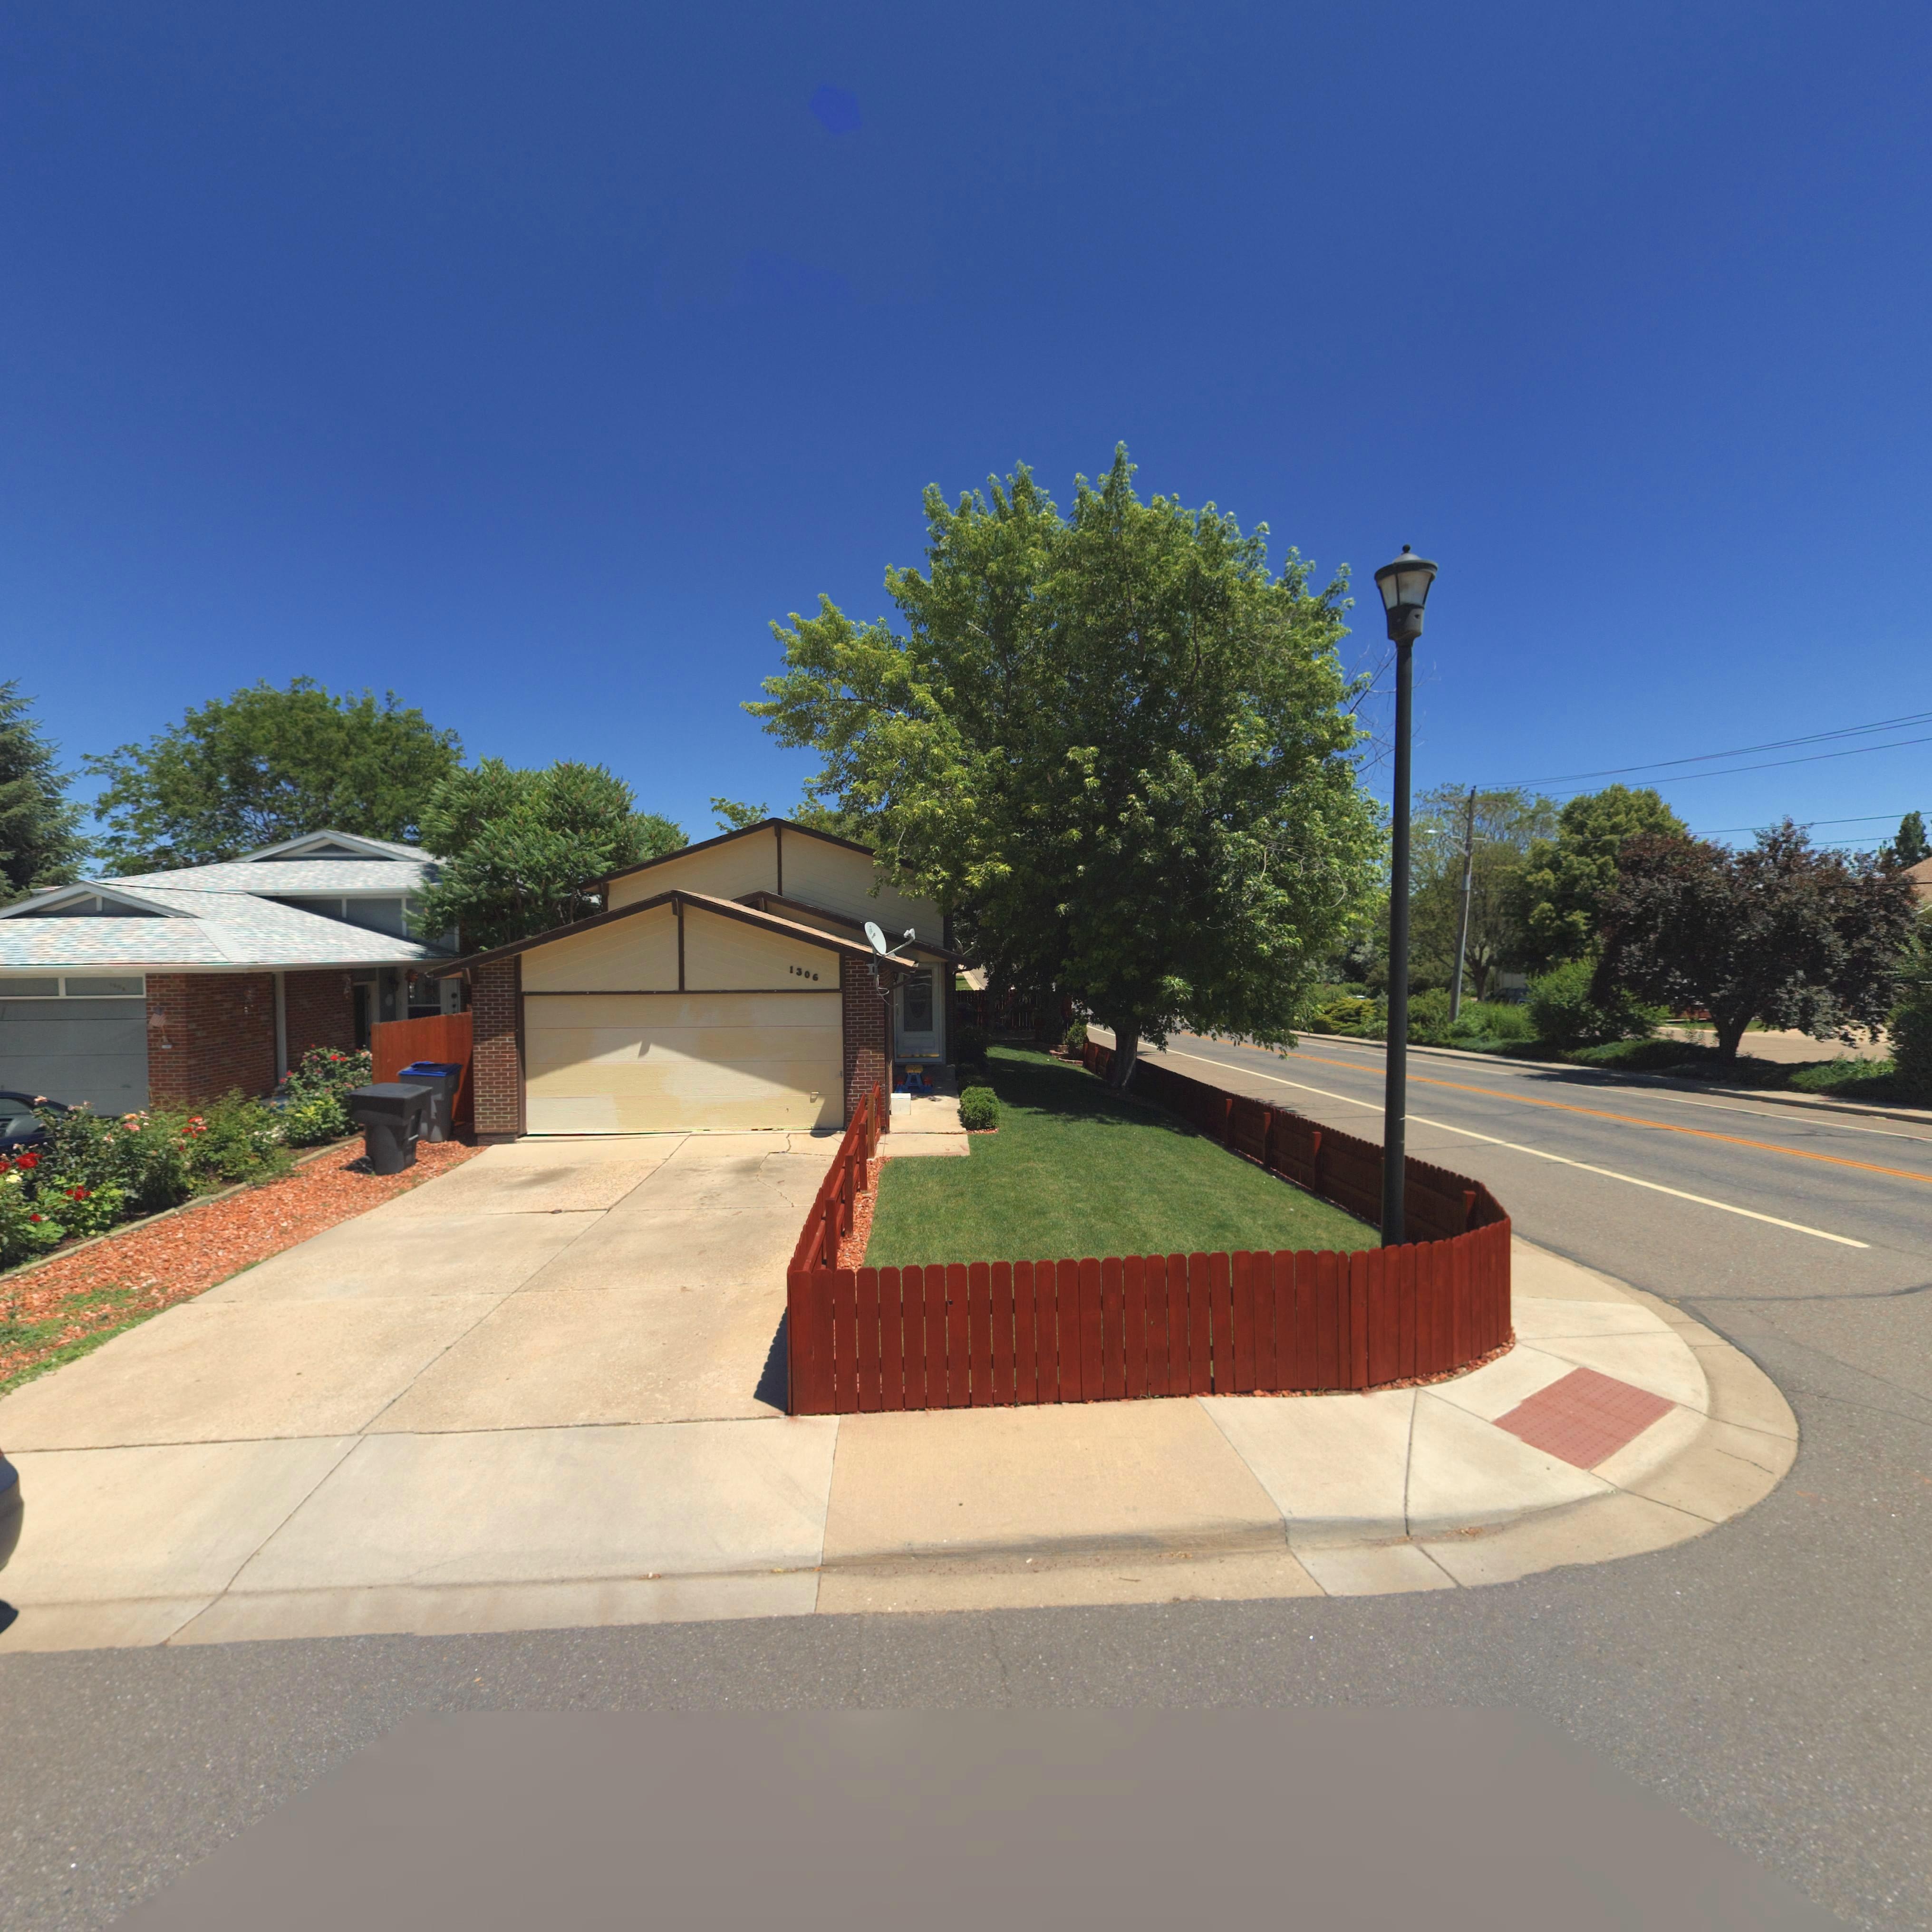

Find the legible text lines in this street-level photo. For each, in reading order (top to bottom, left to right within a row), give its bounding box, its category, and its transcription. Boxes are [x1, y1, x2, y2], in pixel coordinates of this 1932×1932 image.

[790, 965, 818, 982] StreetNumber: 1306